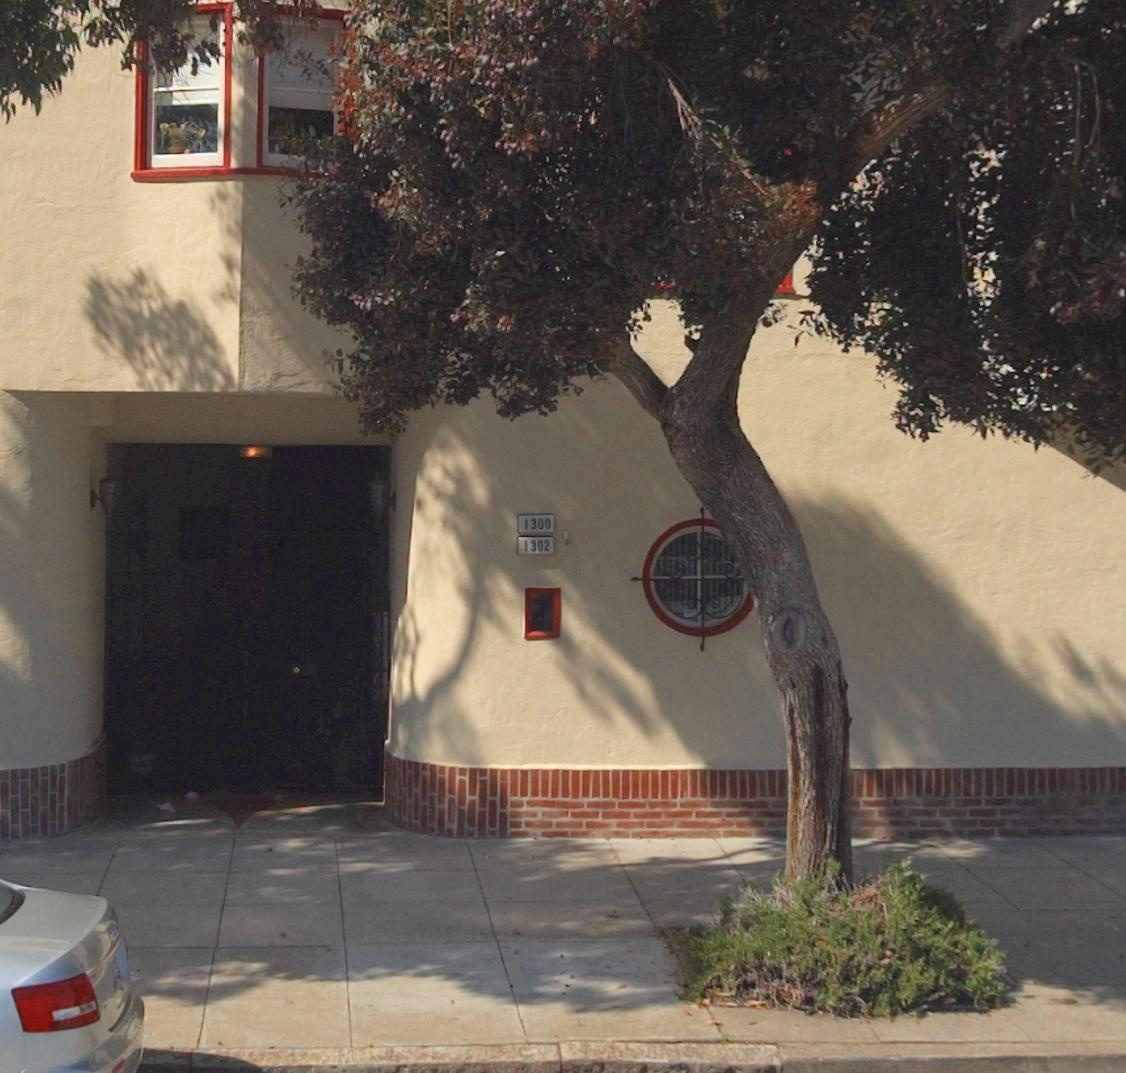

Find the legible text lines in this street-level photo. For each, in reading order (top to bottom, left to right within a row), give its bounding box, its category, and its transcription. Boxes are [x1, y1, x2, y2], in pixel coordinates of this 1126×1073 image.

[524, 517, 552, 530] StreetNumber: 1300
[523, 540, 550, 552] StreetNumber: 1302